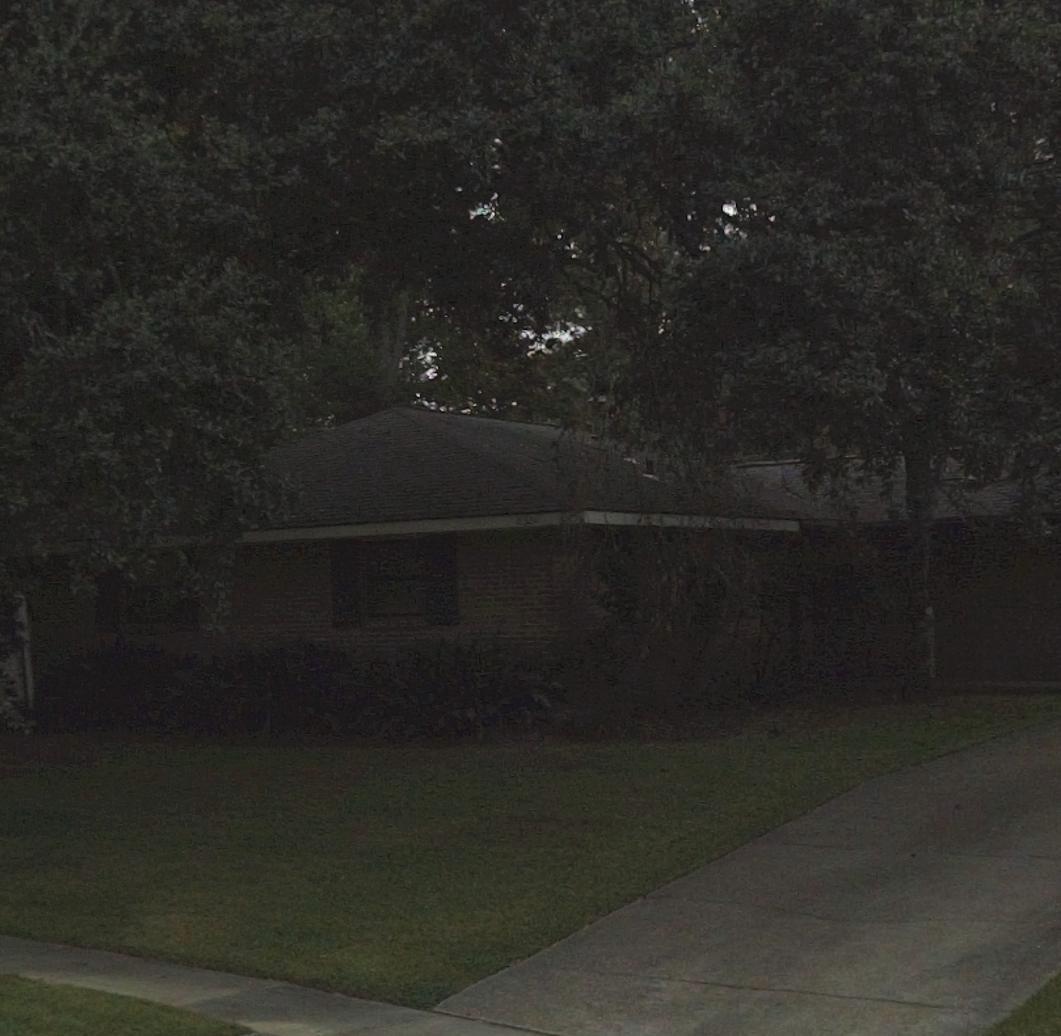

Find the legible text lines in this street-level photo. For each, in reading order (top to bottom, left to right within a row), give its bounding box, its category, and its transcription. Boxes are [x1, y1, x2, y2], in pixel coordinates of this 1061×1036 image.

[514, 513, 540, 526] StreetNumber: 8324